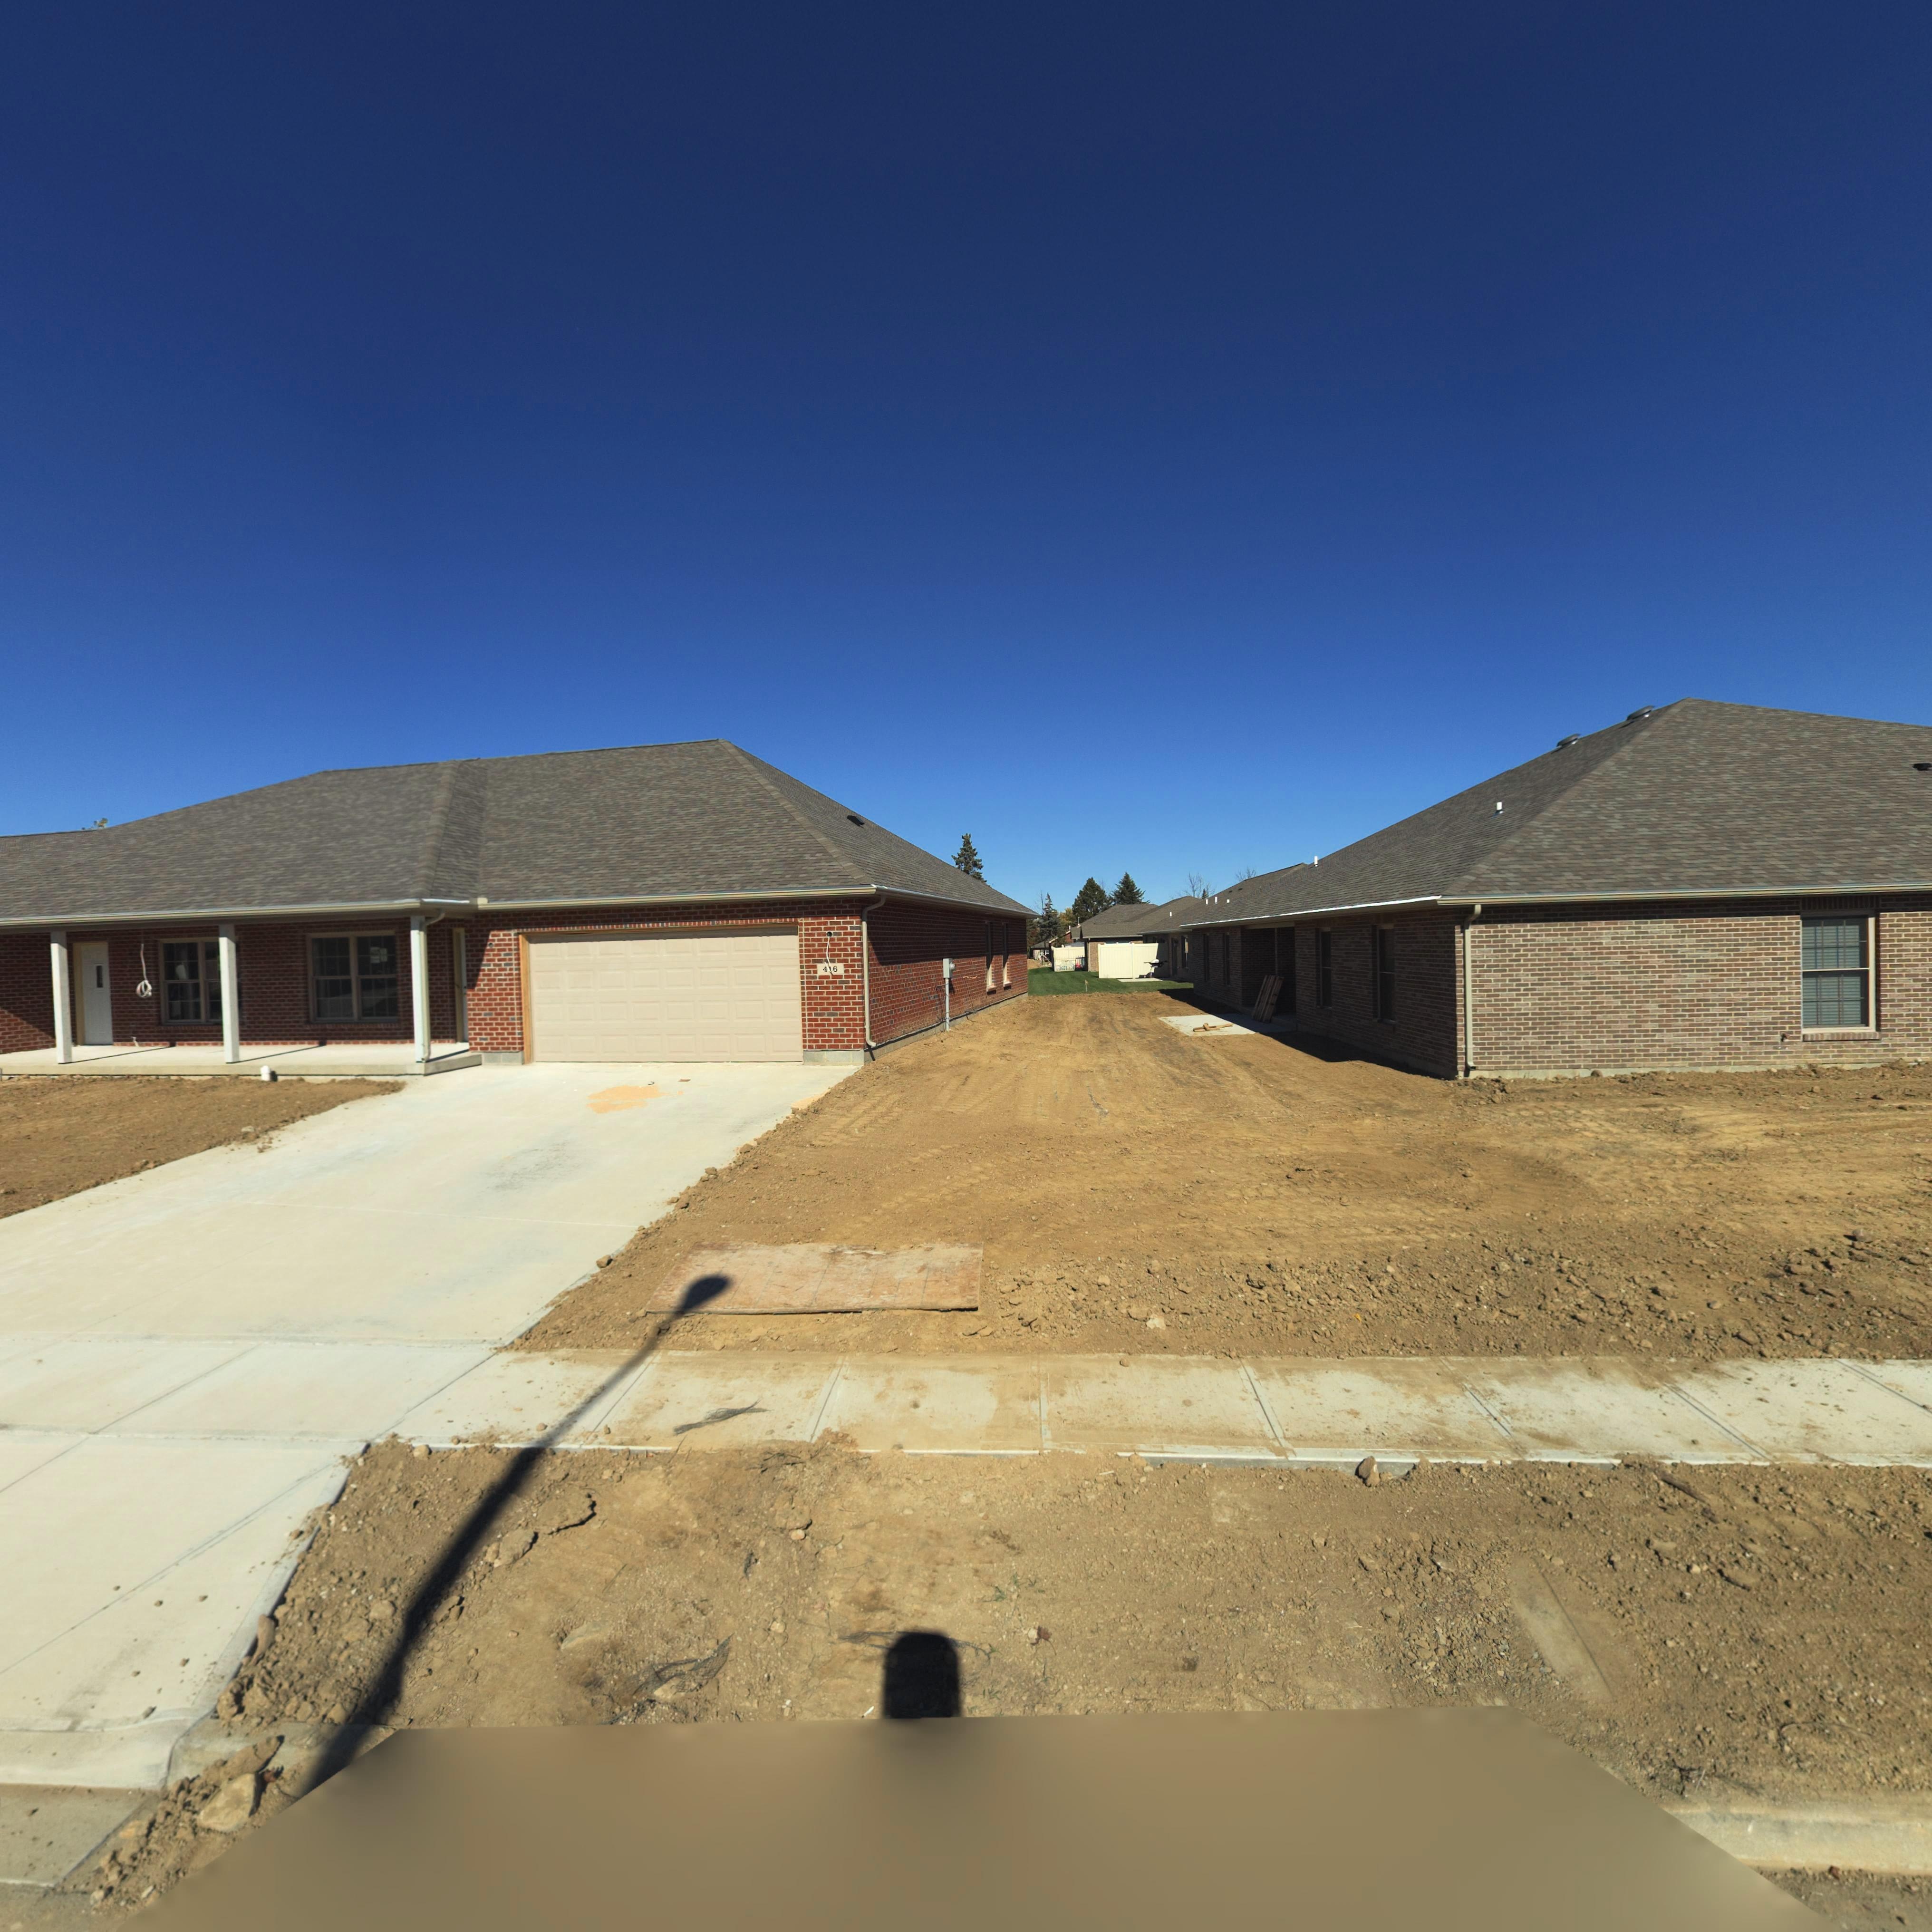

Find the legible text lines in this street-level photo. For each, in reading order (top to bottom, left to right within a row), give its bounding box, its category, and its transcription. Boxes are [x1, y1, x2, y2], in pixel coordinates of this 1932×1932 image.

[822, 965, 839, 973] StreetNumber: 416